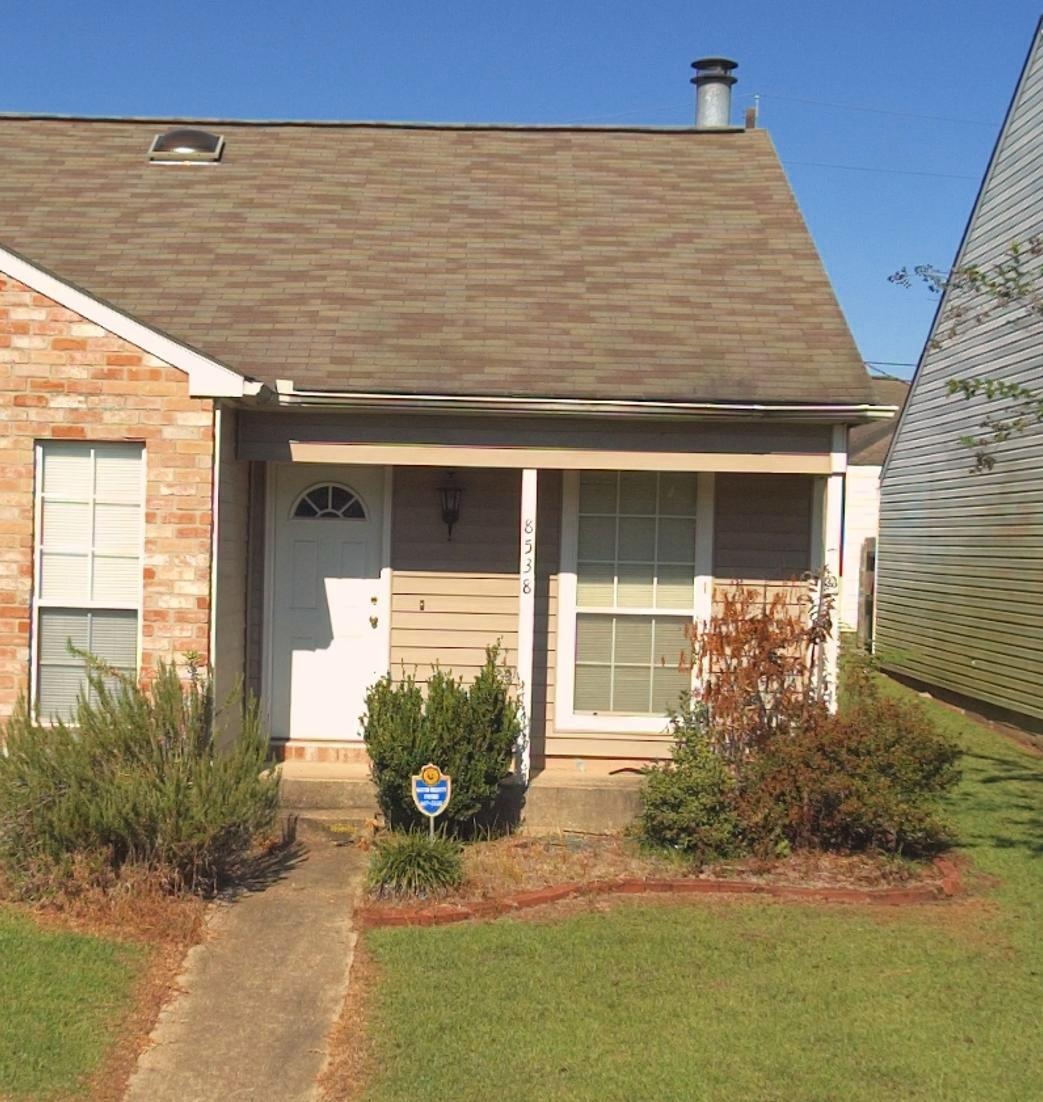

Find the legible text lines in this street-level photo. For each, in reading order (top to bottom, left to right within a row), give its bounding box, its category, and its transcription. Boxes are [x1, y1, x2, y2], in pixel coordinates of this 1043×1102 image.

[521, 517, 533, 595] StreetNumber: 8538